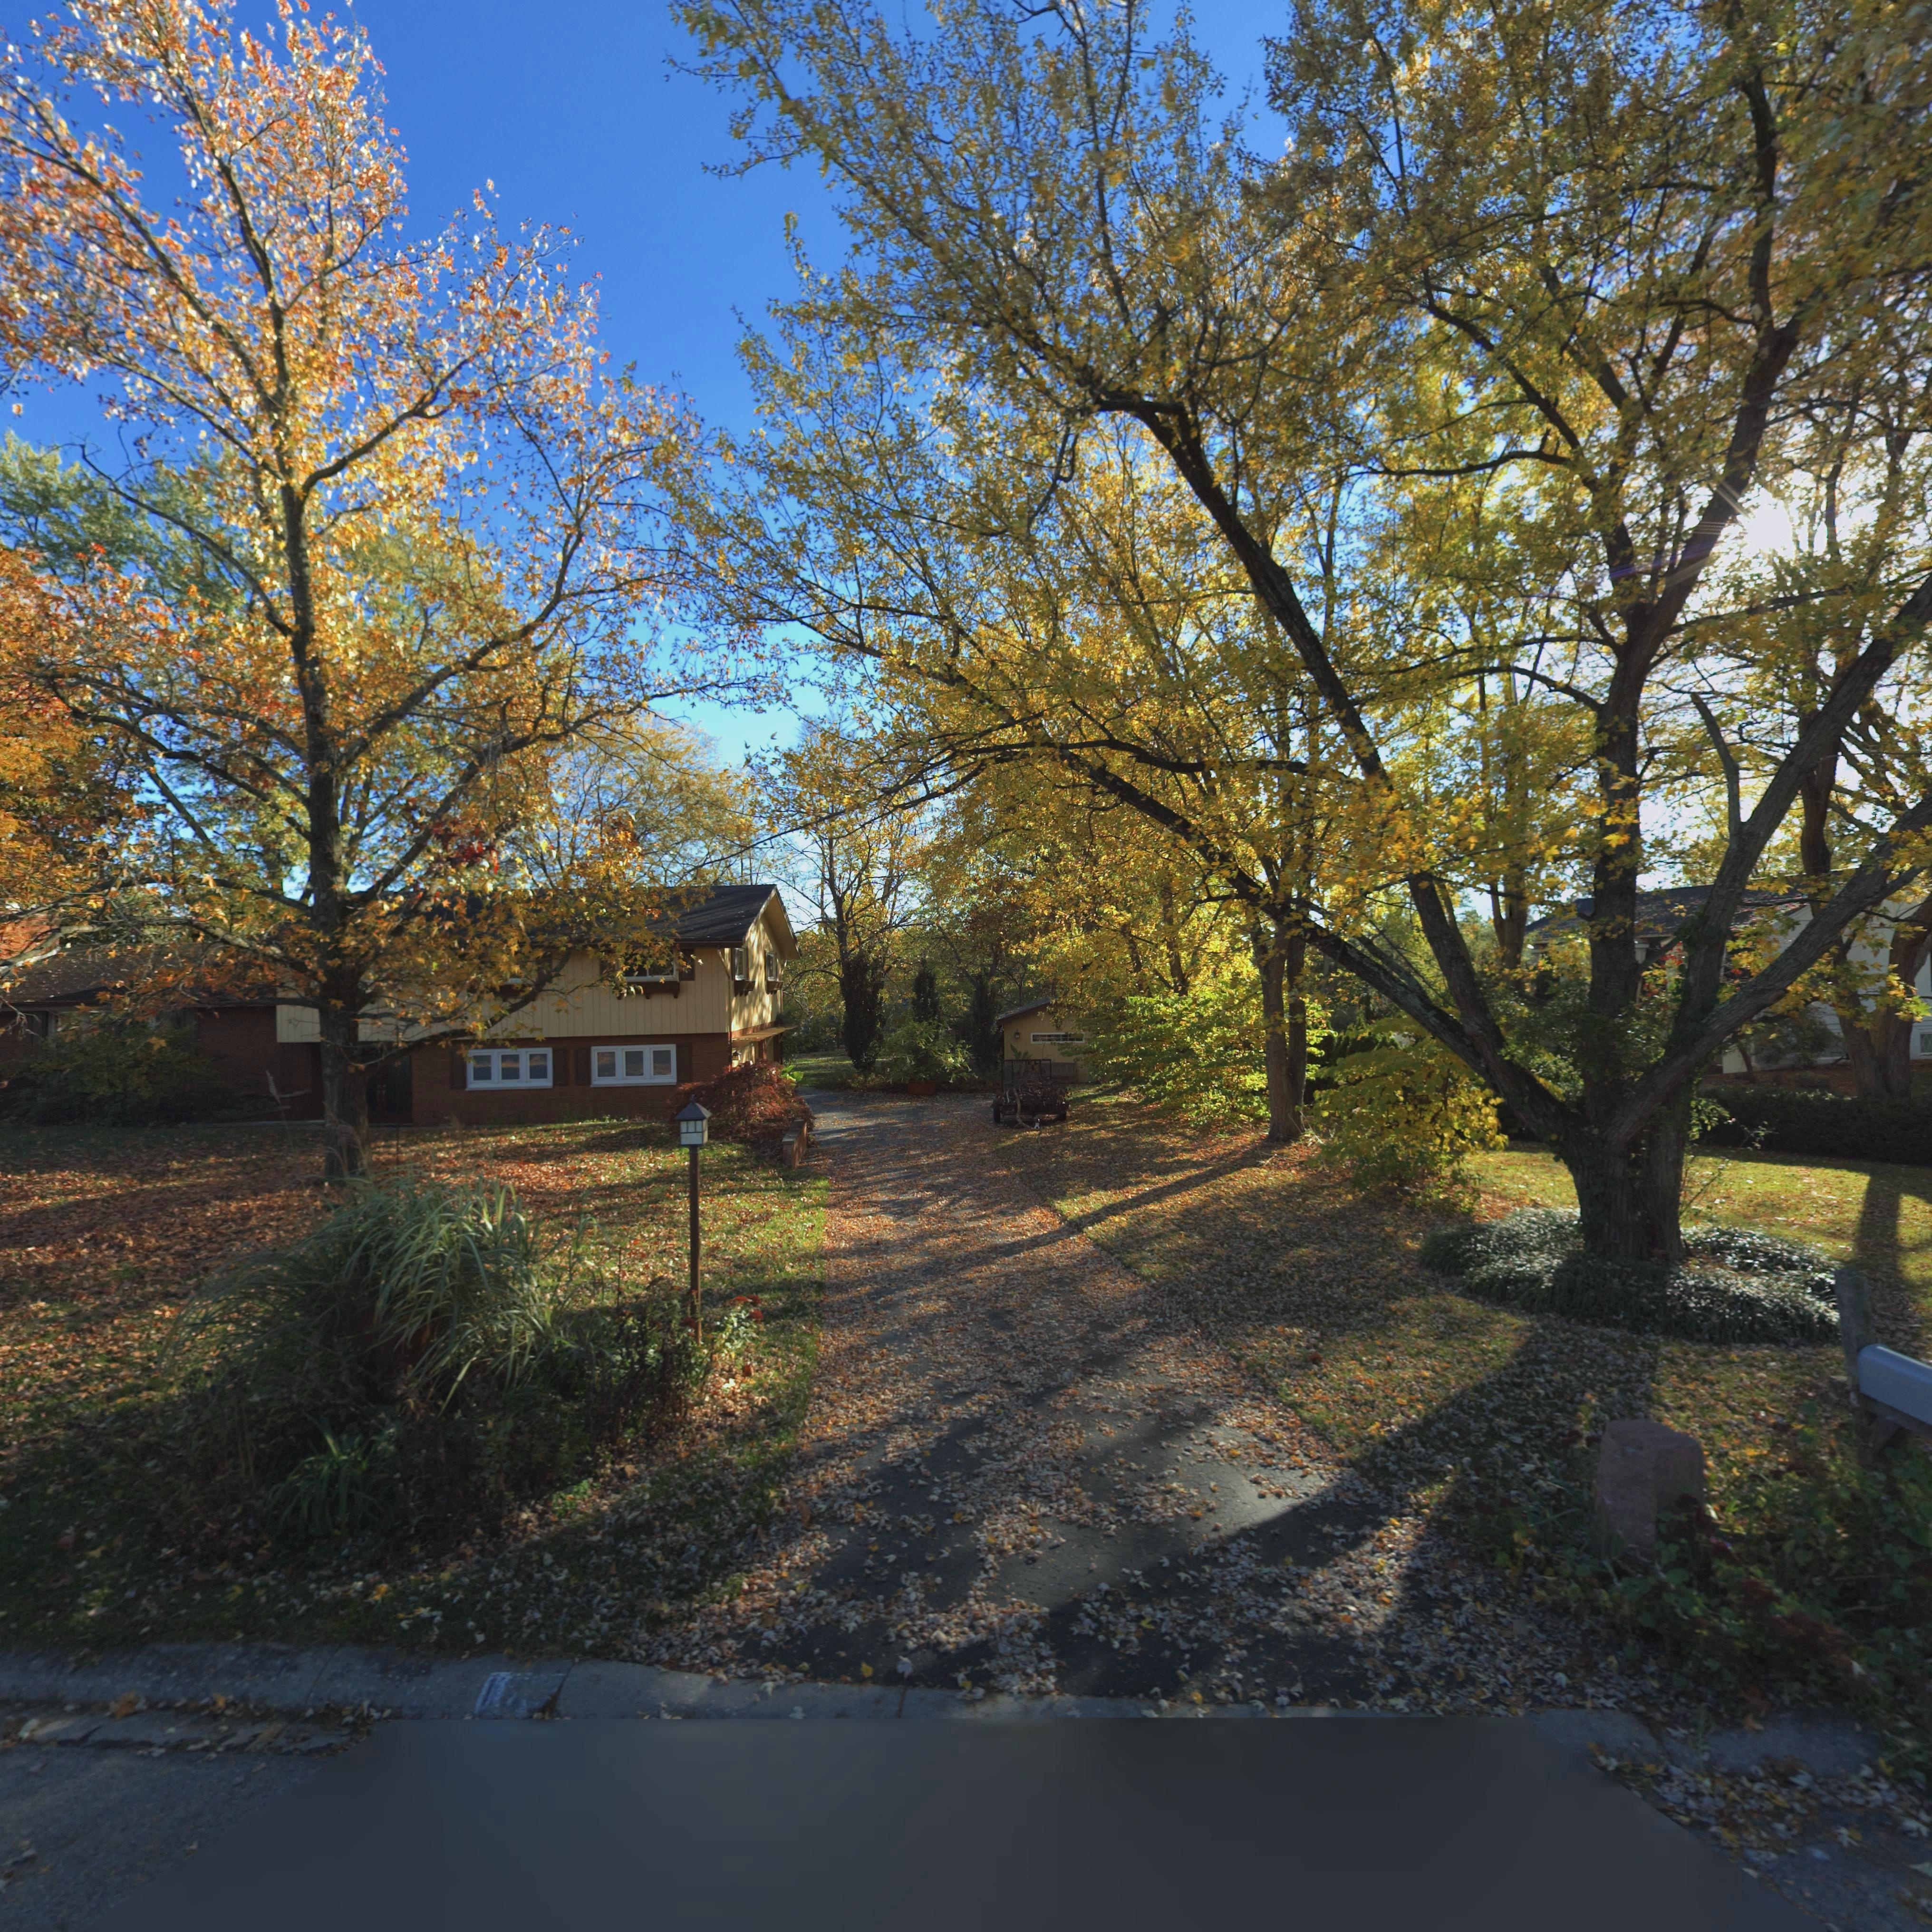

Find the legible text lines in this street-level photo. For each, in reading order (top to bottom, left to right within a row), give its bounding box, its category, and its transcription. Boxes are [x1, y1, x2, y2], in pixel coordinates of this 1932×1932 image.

[478, 1675, 499, 1709] StreetNumber: 1